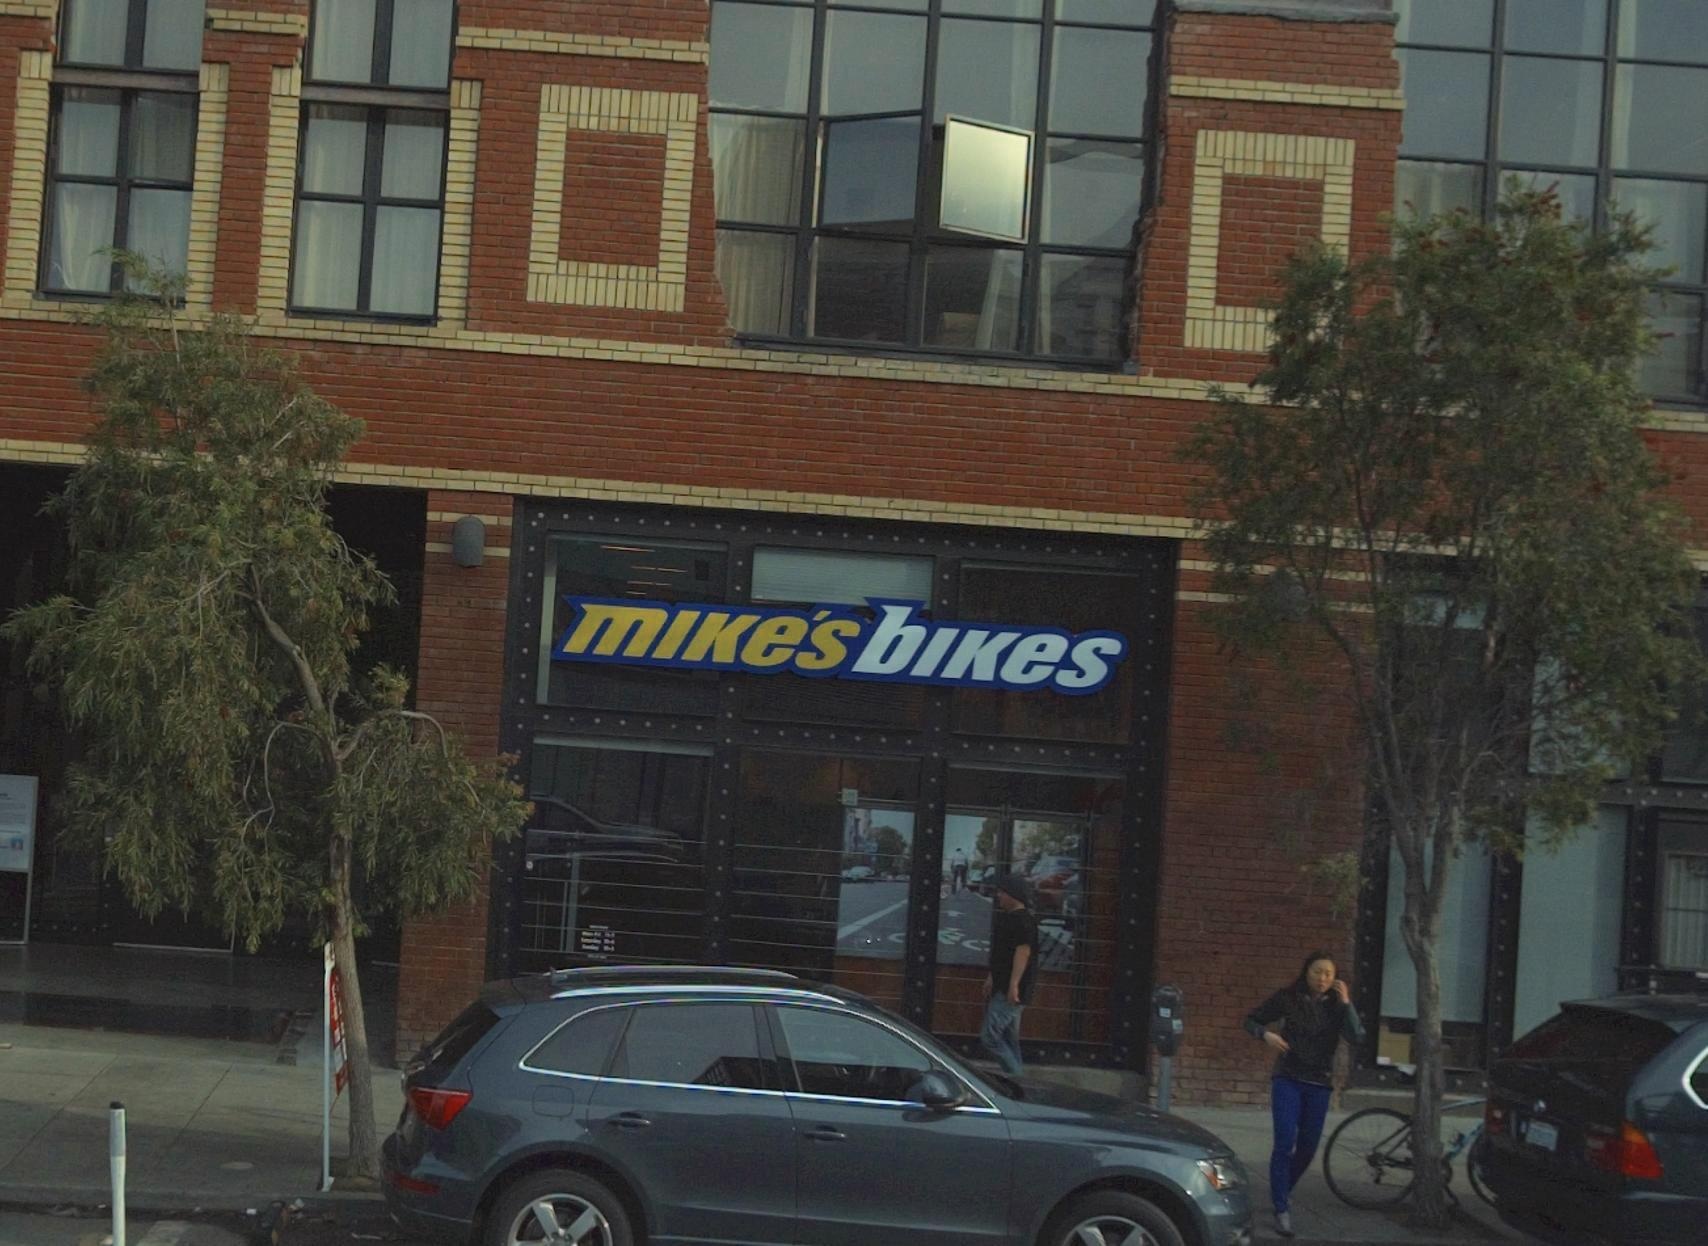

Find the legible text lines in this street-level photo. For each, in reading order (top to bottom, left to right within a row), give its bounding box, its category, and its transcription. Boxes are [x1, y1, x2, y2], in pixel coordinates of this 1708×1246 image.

[545, 585, 1139, 698] BusinessName: mIKe's bIKes